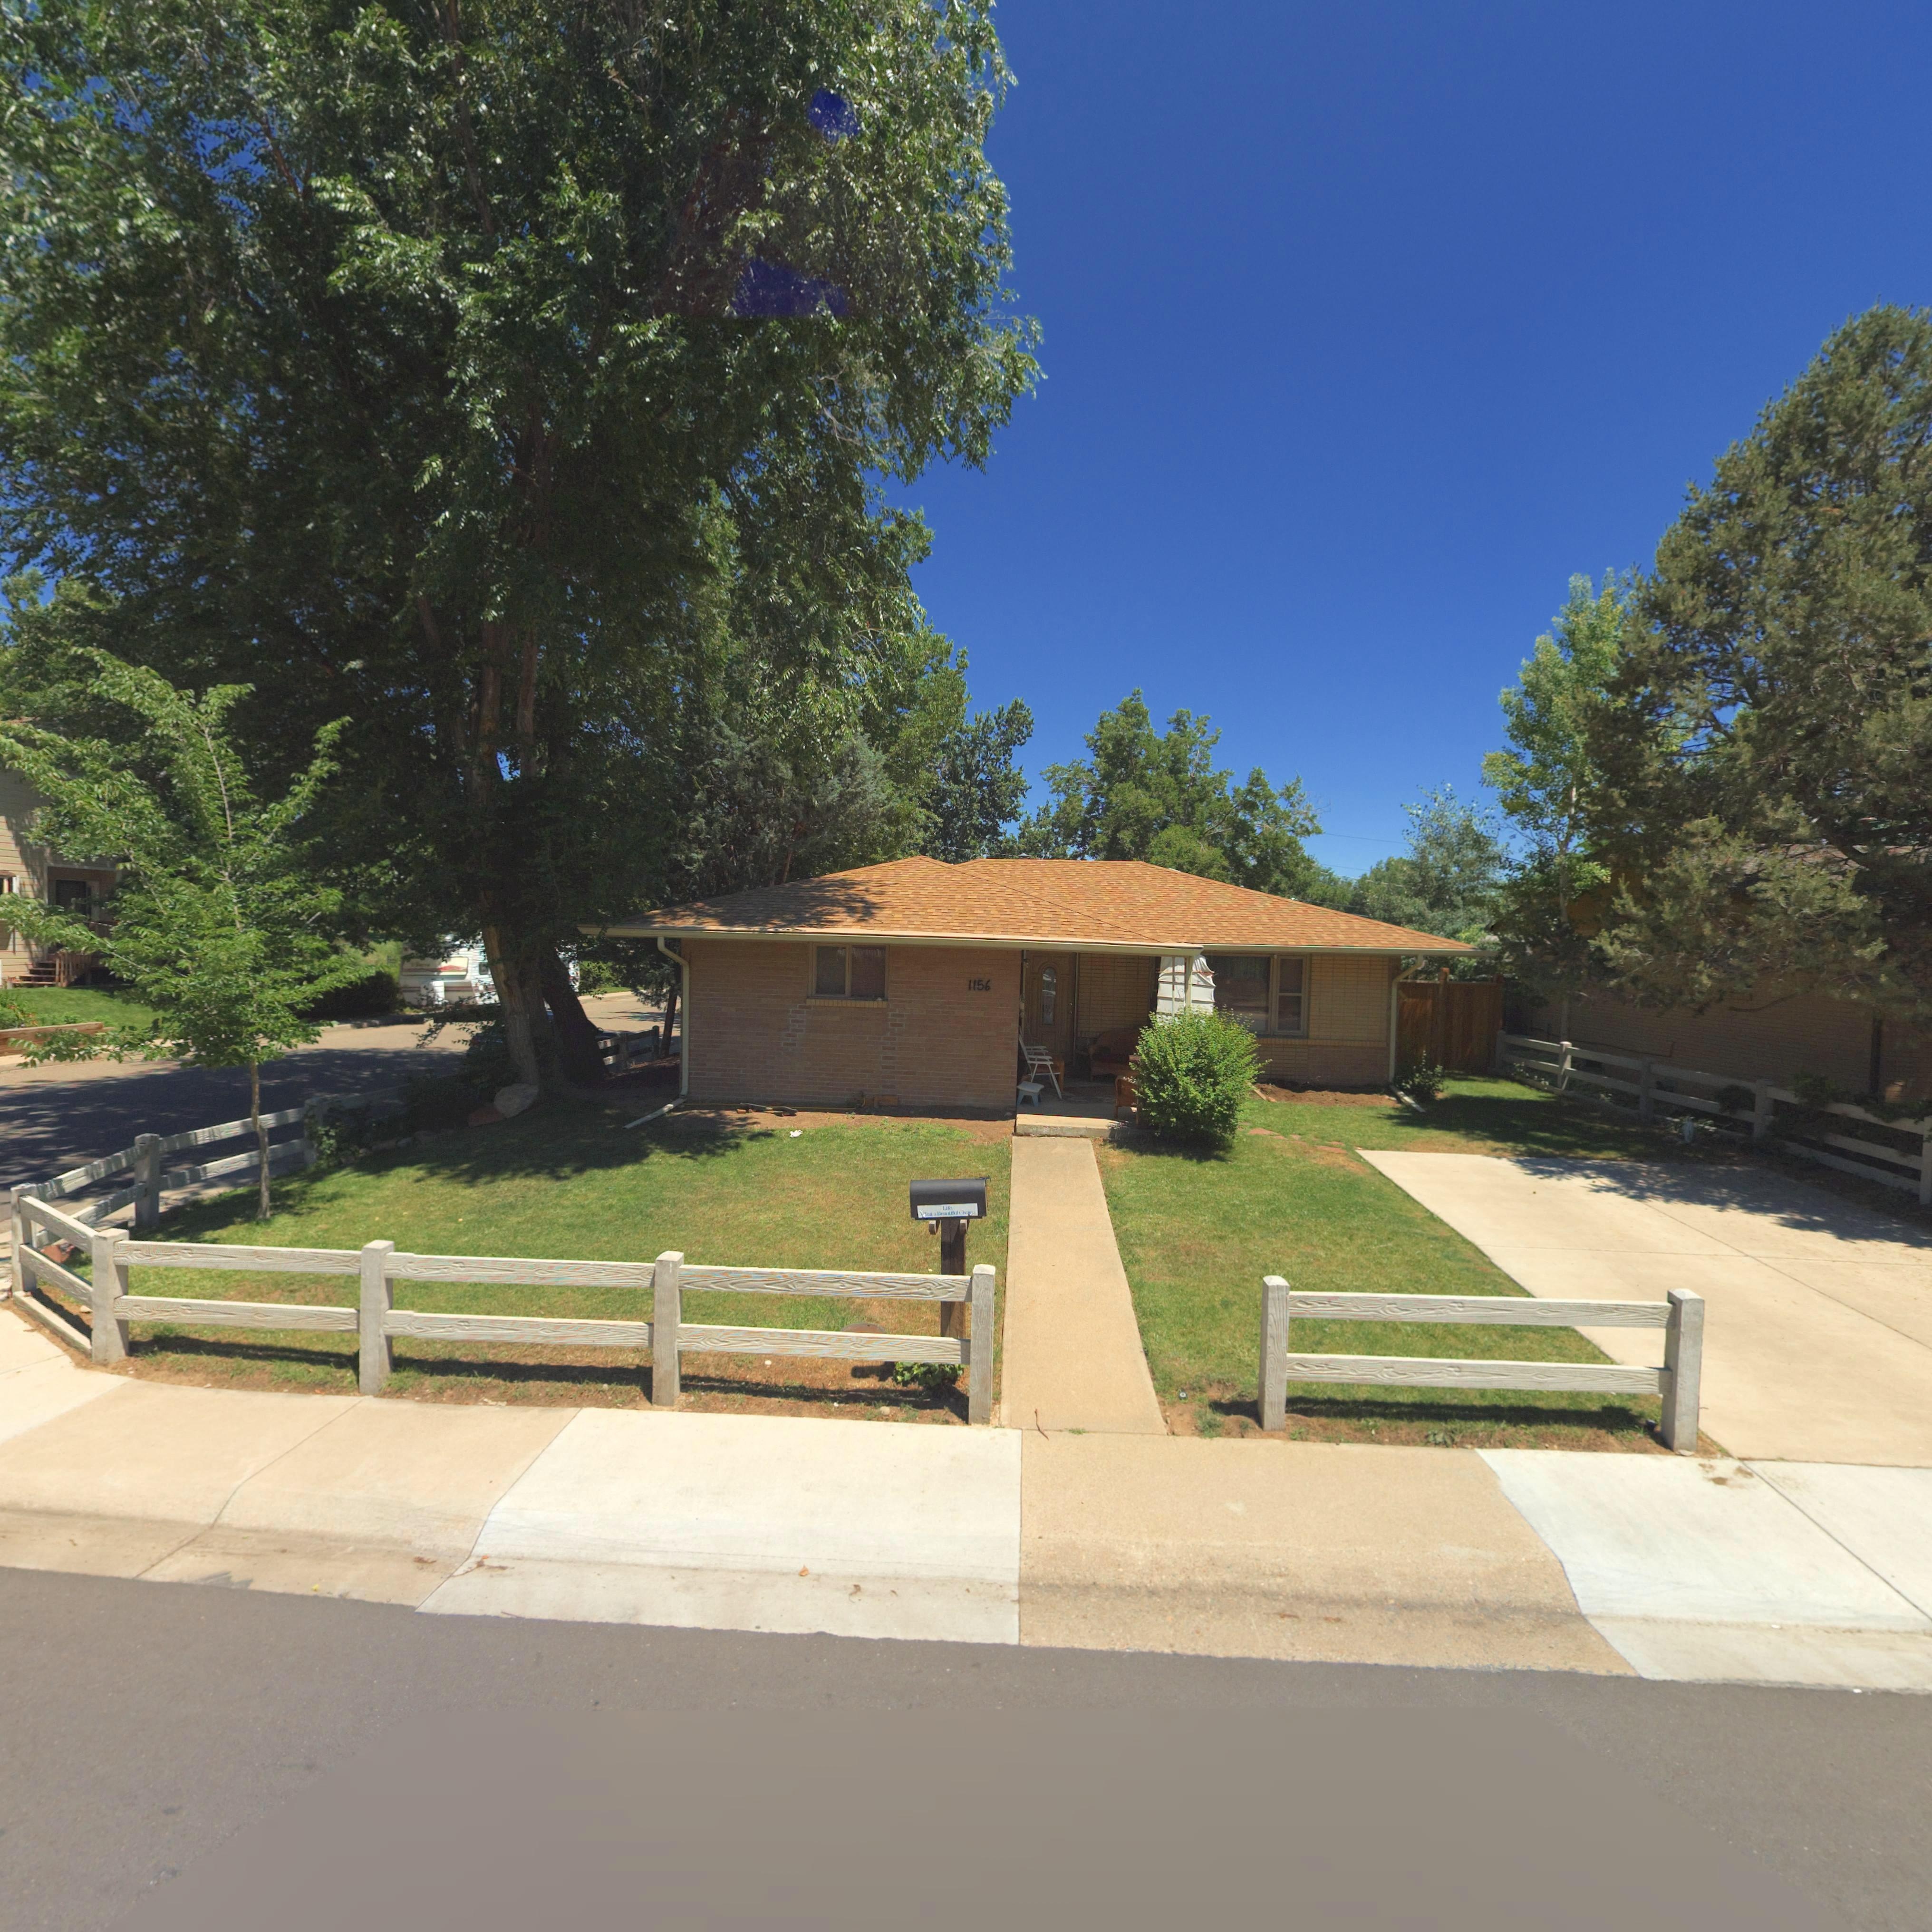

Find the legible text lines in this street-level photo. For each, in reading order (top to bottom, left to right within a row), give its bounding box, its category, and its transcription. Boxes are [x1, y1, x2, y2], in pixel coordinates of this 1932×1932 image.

[967, 978, 991, 991] StreetNumber: 1156